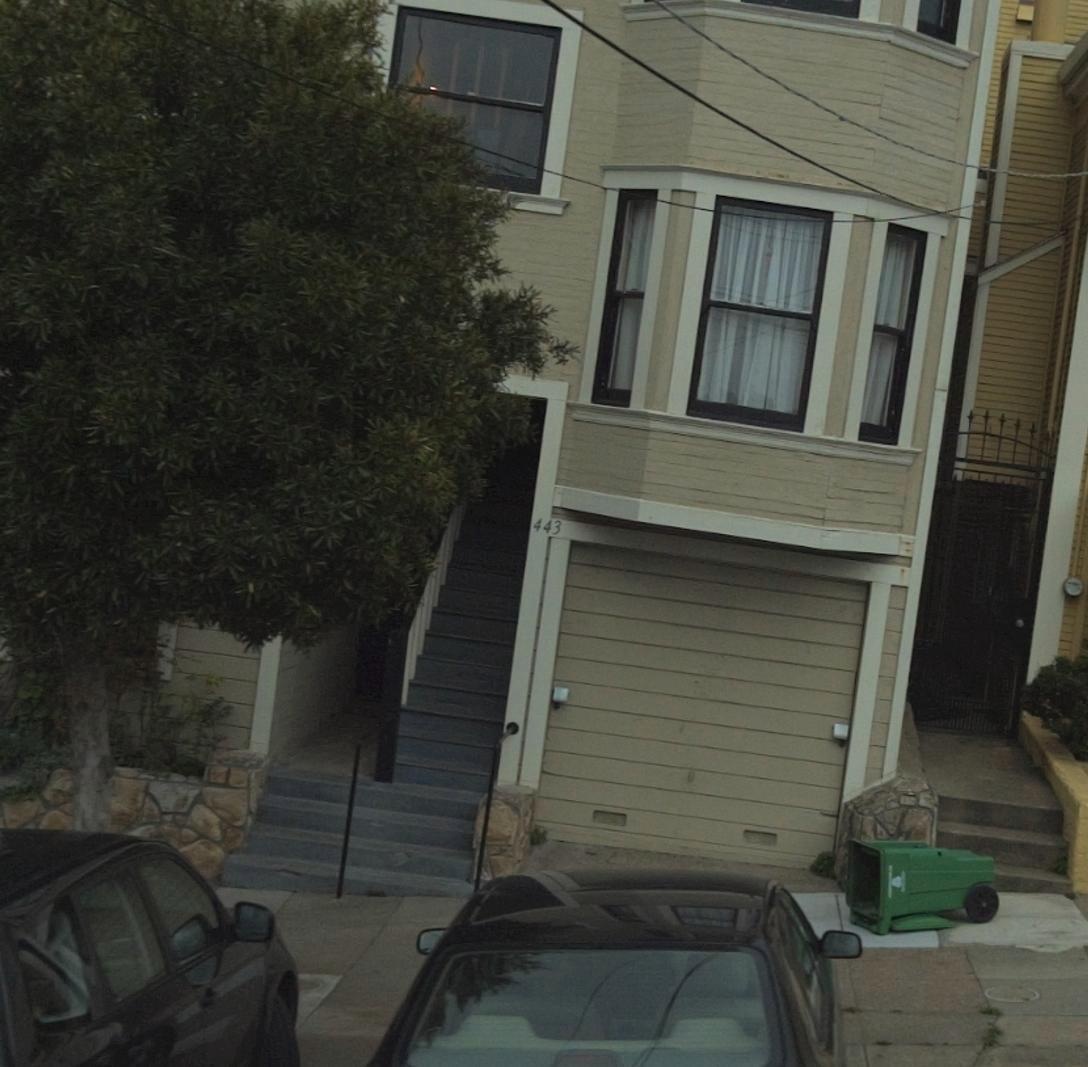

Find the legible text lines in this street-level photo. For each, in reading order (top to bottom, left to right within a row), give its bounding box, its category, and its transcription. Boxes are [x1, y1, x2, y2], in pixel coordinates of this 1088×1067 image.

[532, 517, 562, 536] StreetNumber: 443